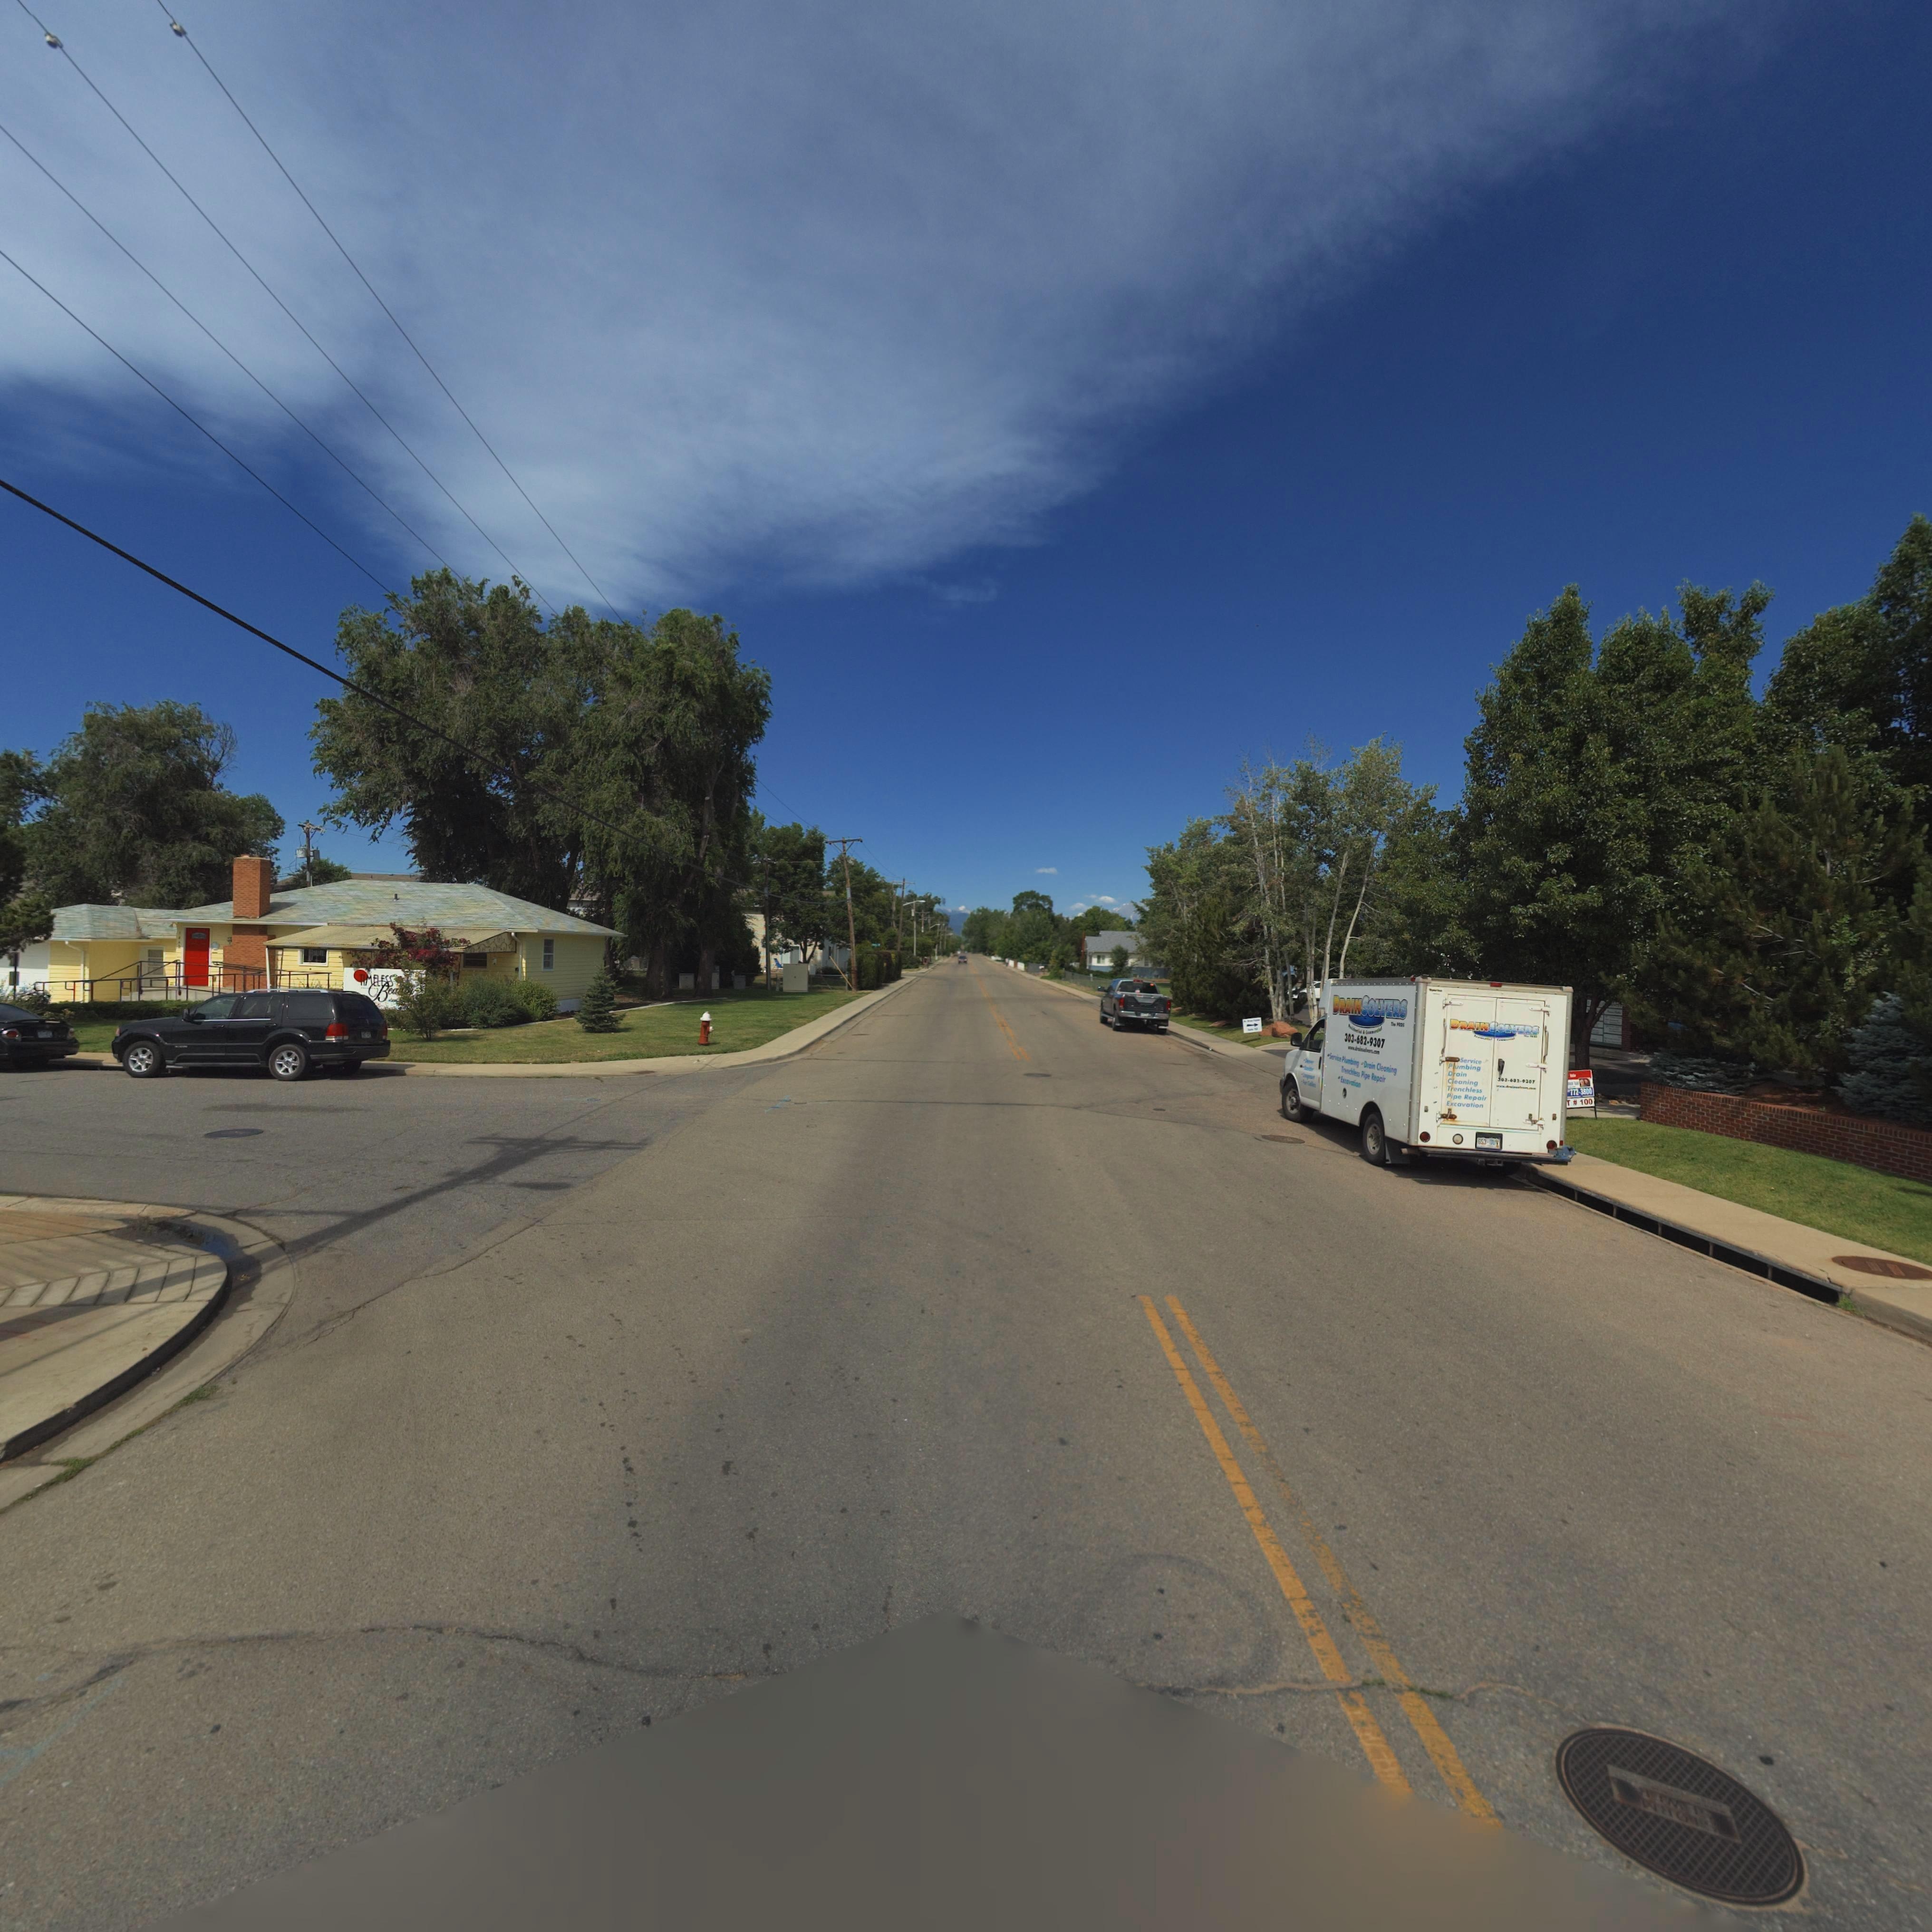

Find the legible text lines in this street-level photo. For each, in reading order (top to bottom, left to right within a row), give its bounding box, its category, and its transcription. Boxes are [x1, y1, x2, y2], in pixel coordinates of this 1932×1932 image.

[178, 930, 181, 948] StreetNumber: 14**
[359, 973, 396, 986] BusinessName: TIMELESS
[372, 981, 398, 1003] BusinessName: Bea